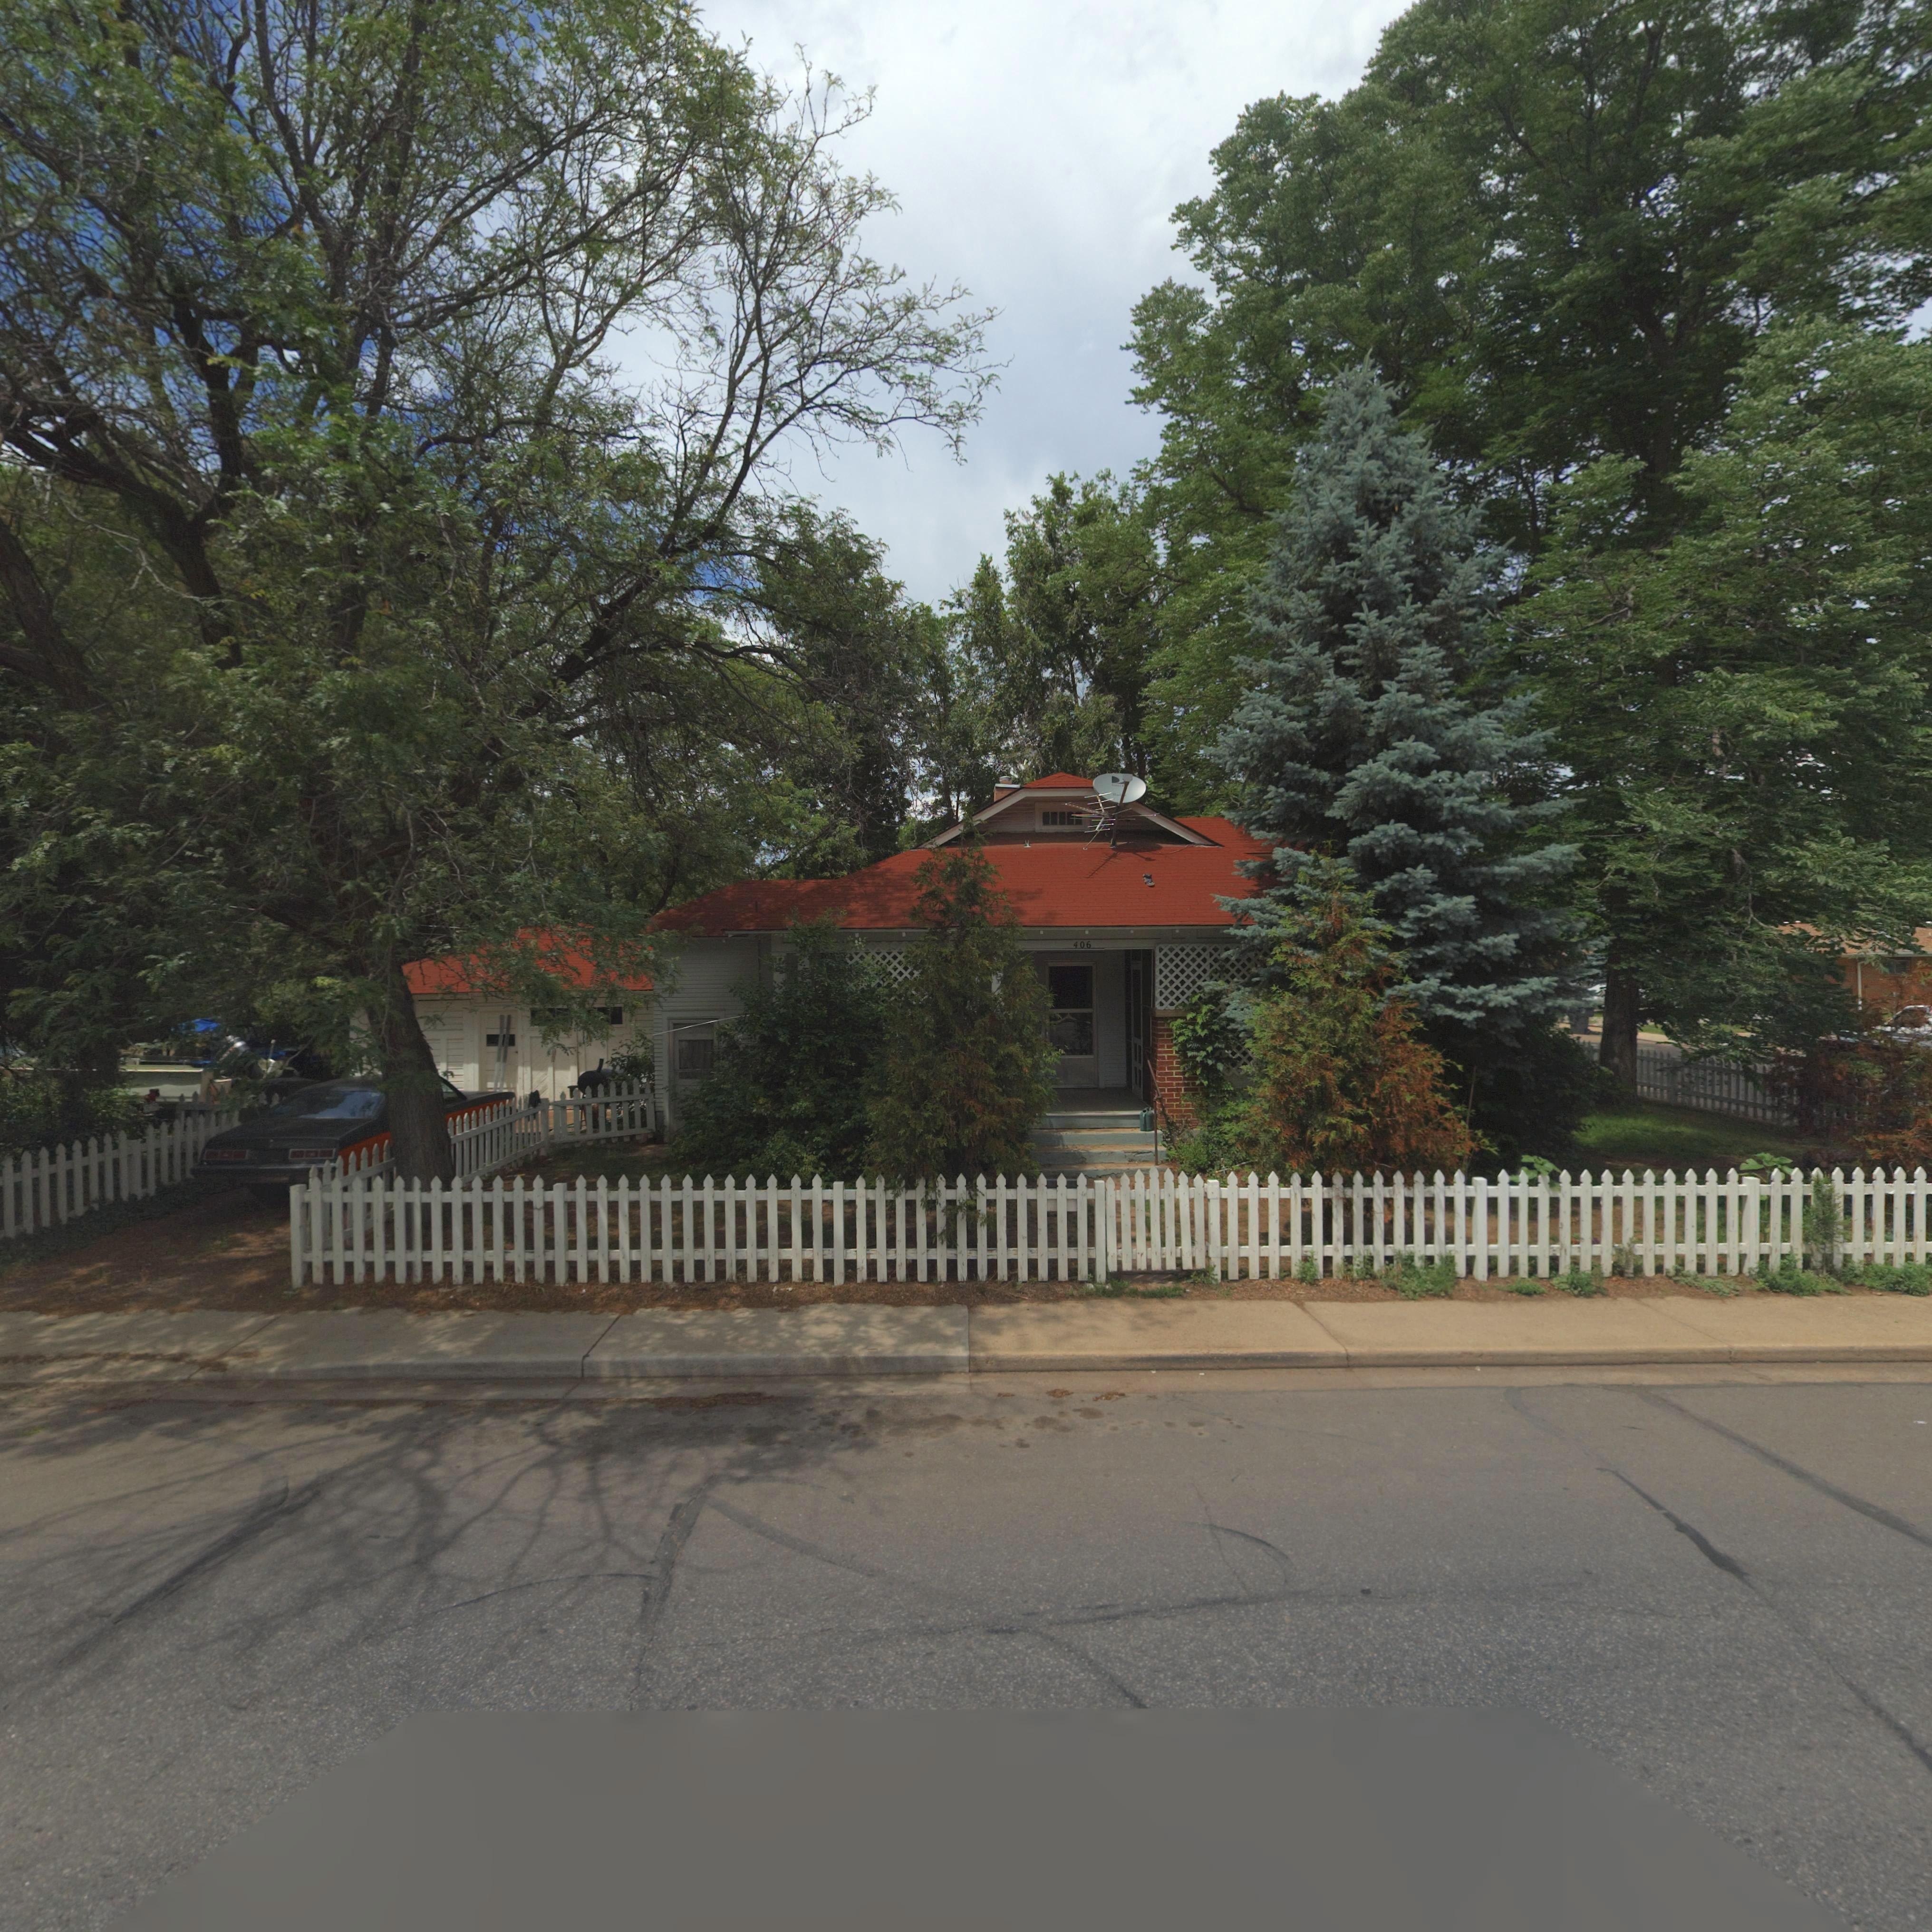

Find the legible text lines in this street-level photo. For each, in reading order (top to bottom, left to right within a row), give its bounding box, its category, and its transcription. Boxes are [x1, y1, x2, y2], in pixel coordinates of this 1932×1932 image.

[1073, 941, 1091, 948] StreetNumber: 406